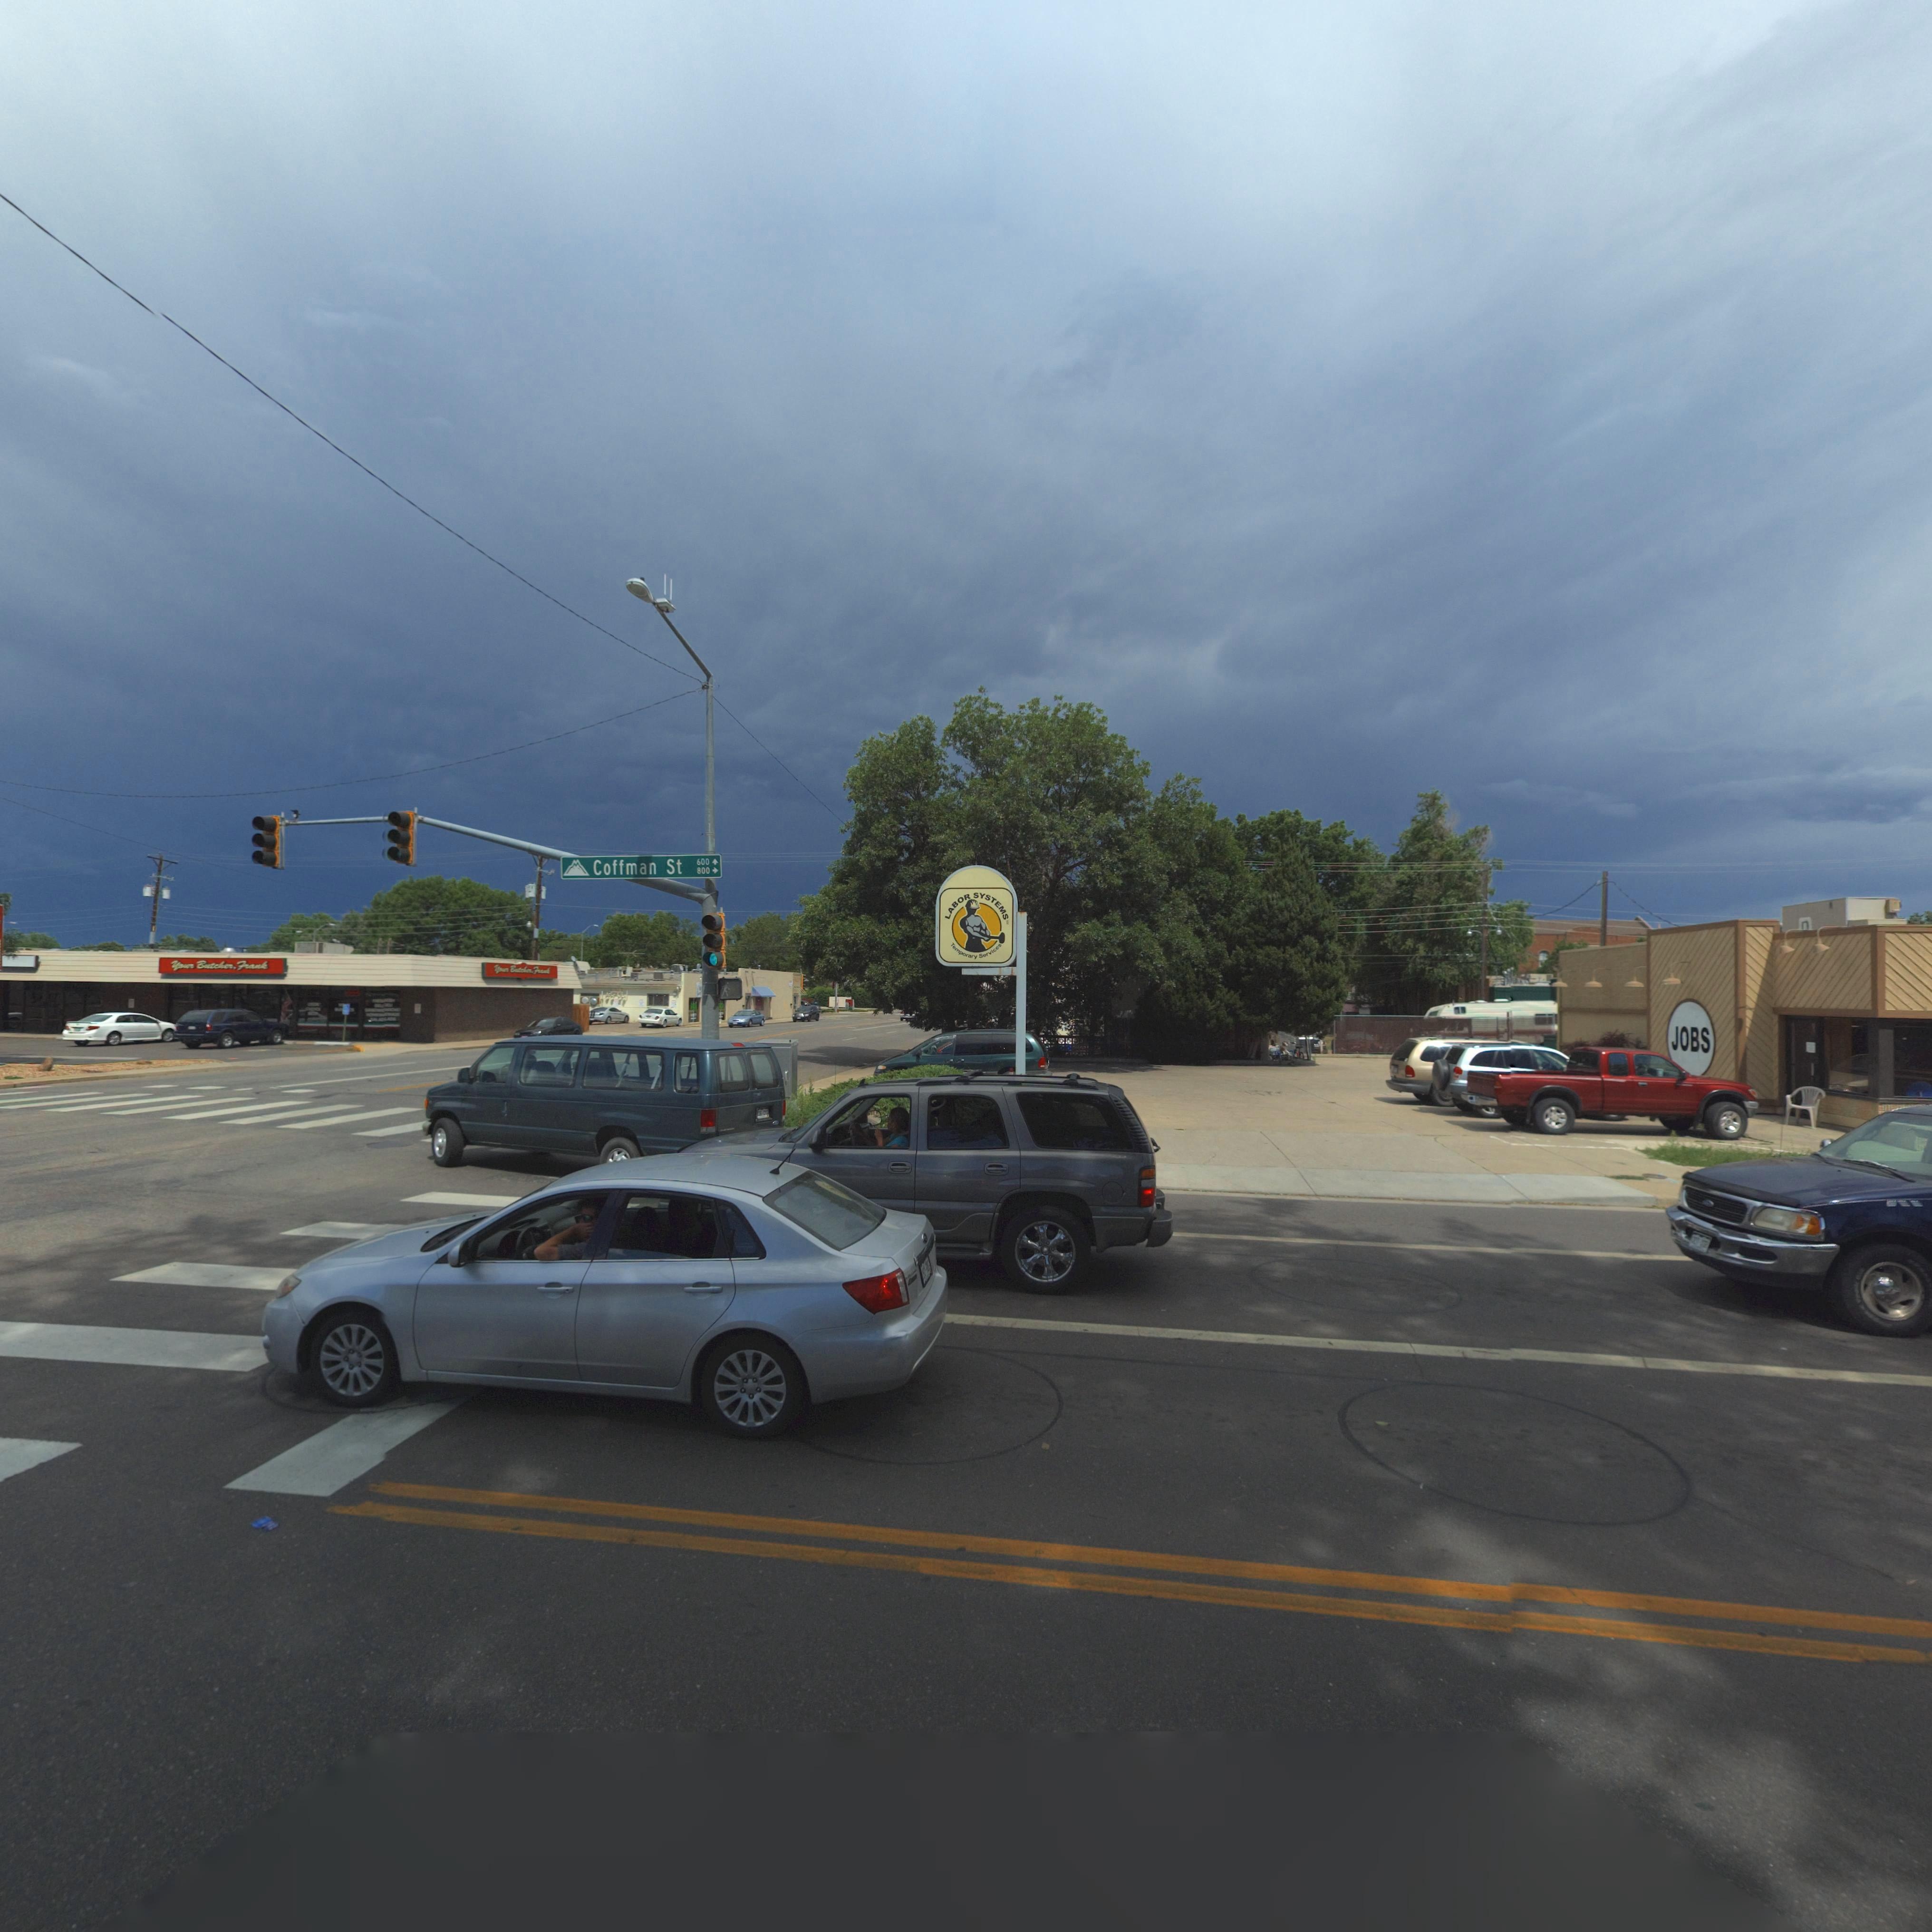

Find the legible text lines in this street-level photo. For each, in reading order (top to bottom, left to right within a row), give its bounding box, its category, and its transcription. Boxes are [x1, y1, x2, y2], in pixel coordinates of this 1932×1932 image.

[592, 858, 682, 876] StreetName: Coffman St
[696, 858, 710, 865] StreetNumberRange: 600
[696, 866, 719, 874] StreetNumberRange: 800->
[944, 892, 1009, 920] BusinessName: LABOR SYSTEMS
[171, 960, 268, 971] BusinessName: Your Butcher, Frank
[493, 964, 550, 975] BusinessName: Your Butcher, Fr**k